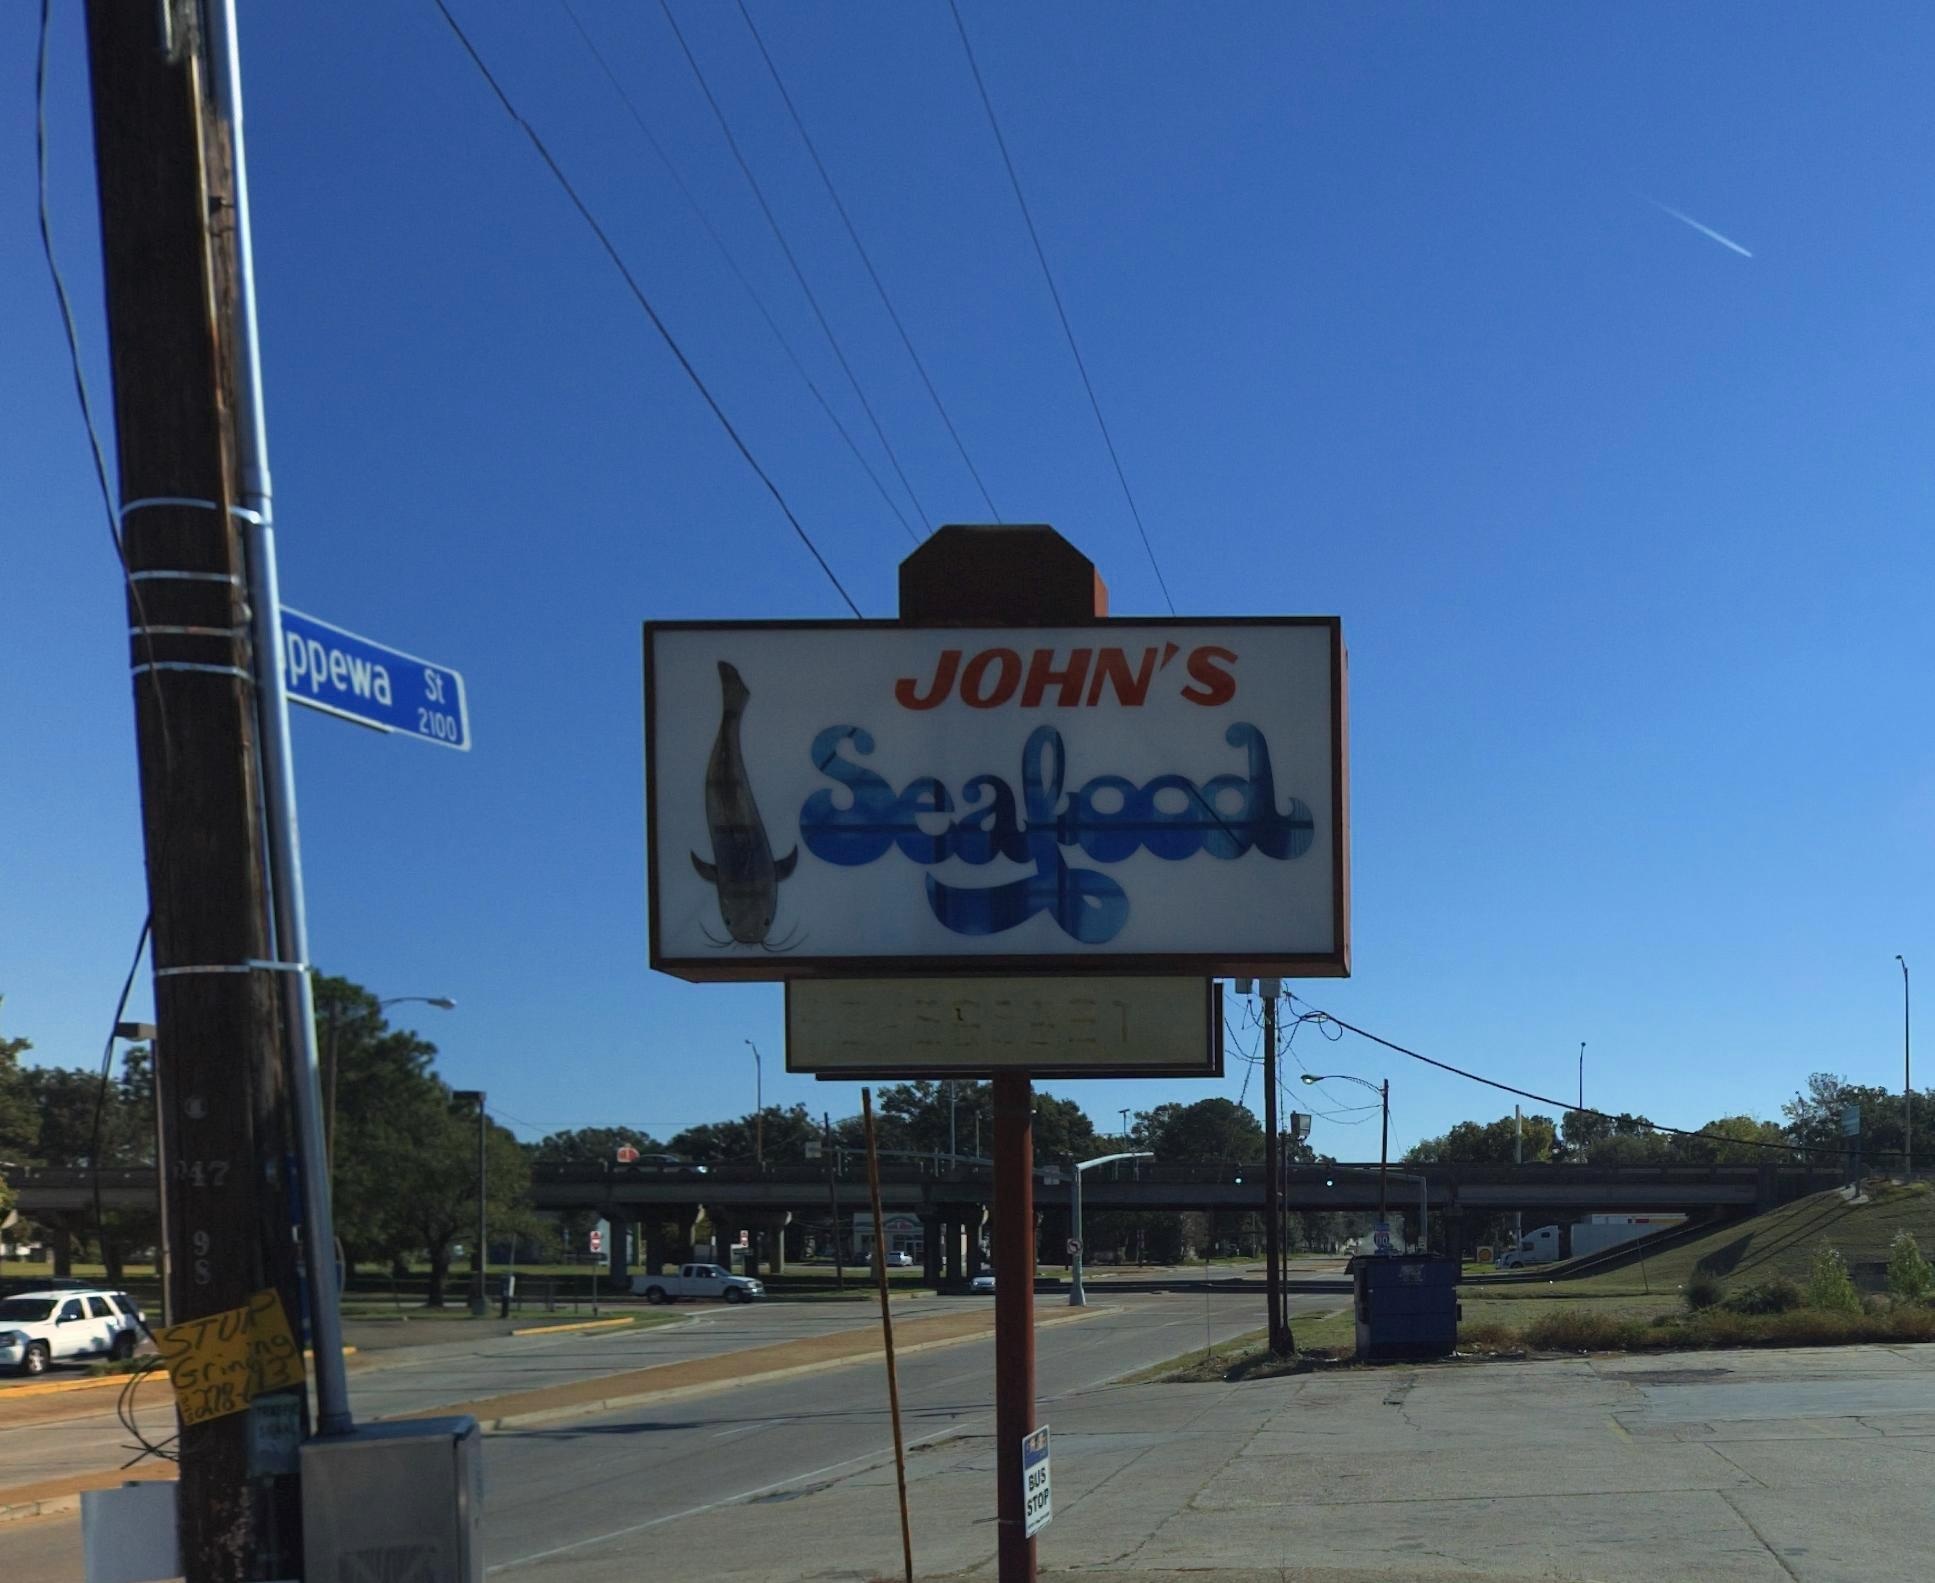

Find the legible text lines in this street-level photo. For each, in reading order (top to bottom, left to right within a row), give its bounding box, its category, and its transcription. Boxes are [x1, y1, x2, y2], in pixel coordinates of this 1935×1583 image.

[283, 624, 450, 712] StreetName: ppewa St
[891, 638, 1245, 714] BusinessName: JOHN'S
[415, 704, 461, 746] StreetNumber: 2100
[787, 714, 1321, 953] BusinessName: Seafood
[181, 1153, 234, 1191] None: 47
[189, 1223, 216, 1291] None: 98
[154, 1305, 249, 1366] None: STU
[165, 1326, 303, 1395] None: Grin**ng
[186, 1375, 240, 1424] None: 278
[1026, 1461, 1049, 1496] None: BUS
[1025, 1483, 1051, 1519] None: STOP